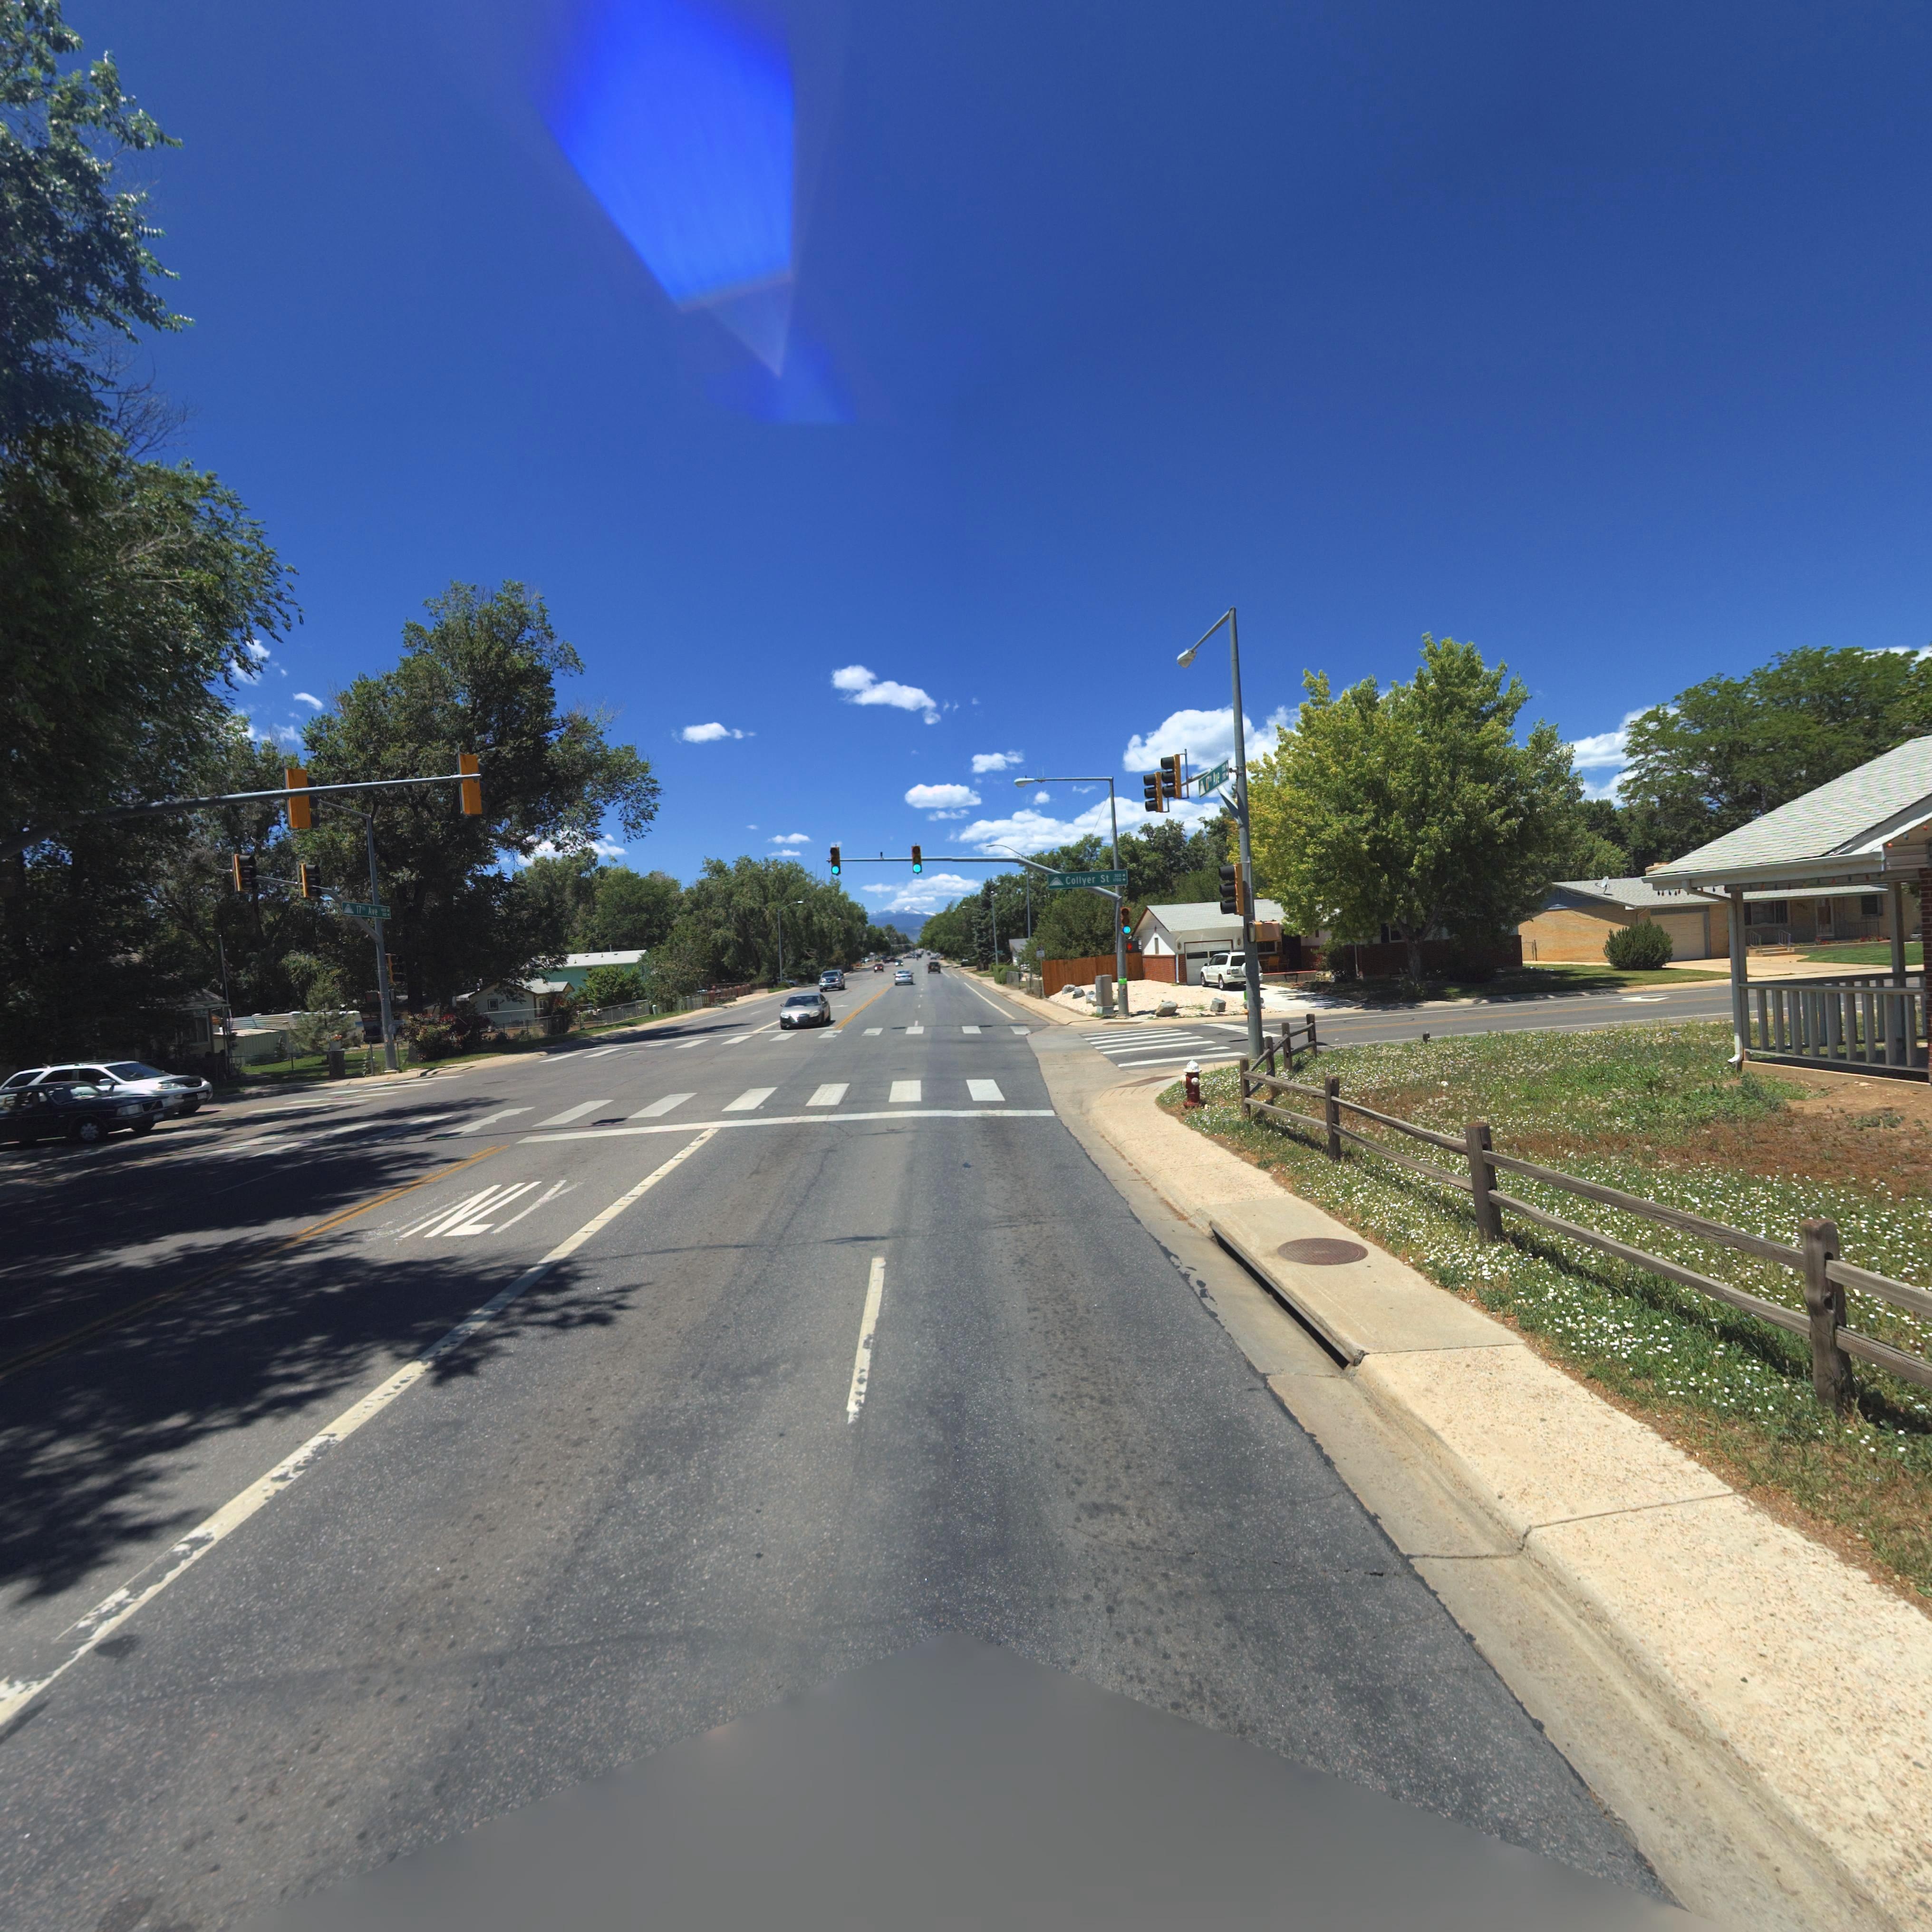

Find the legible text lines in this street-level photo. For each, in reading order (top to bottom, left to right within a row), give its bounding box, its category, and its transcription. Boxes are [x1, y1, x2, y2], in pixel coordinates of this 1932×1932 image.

[1206, 771, 1219, 790] StreetName: 17th Ave
[1065, 874, 1110, 886] StreetName: Collyer St
[1114, 873, 1121, 877] None: *00
[1112, 878, 1126, 882] StreetNumberRange: **00->
[356, 905, 378, 915] StreetName: 17th Ave